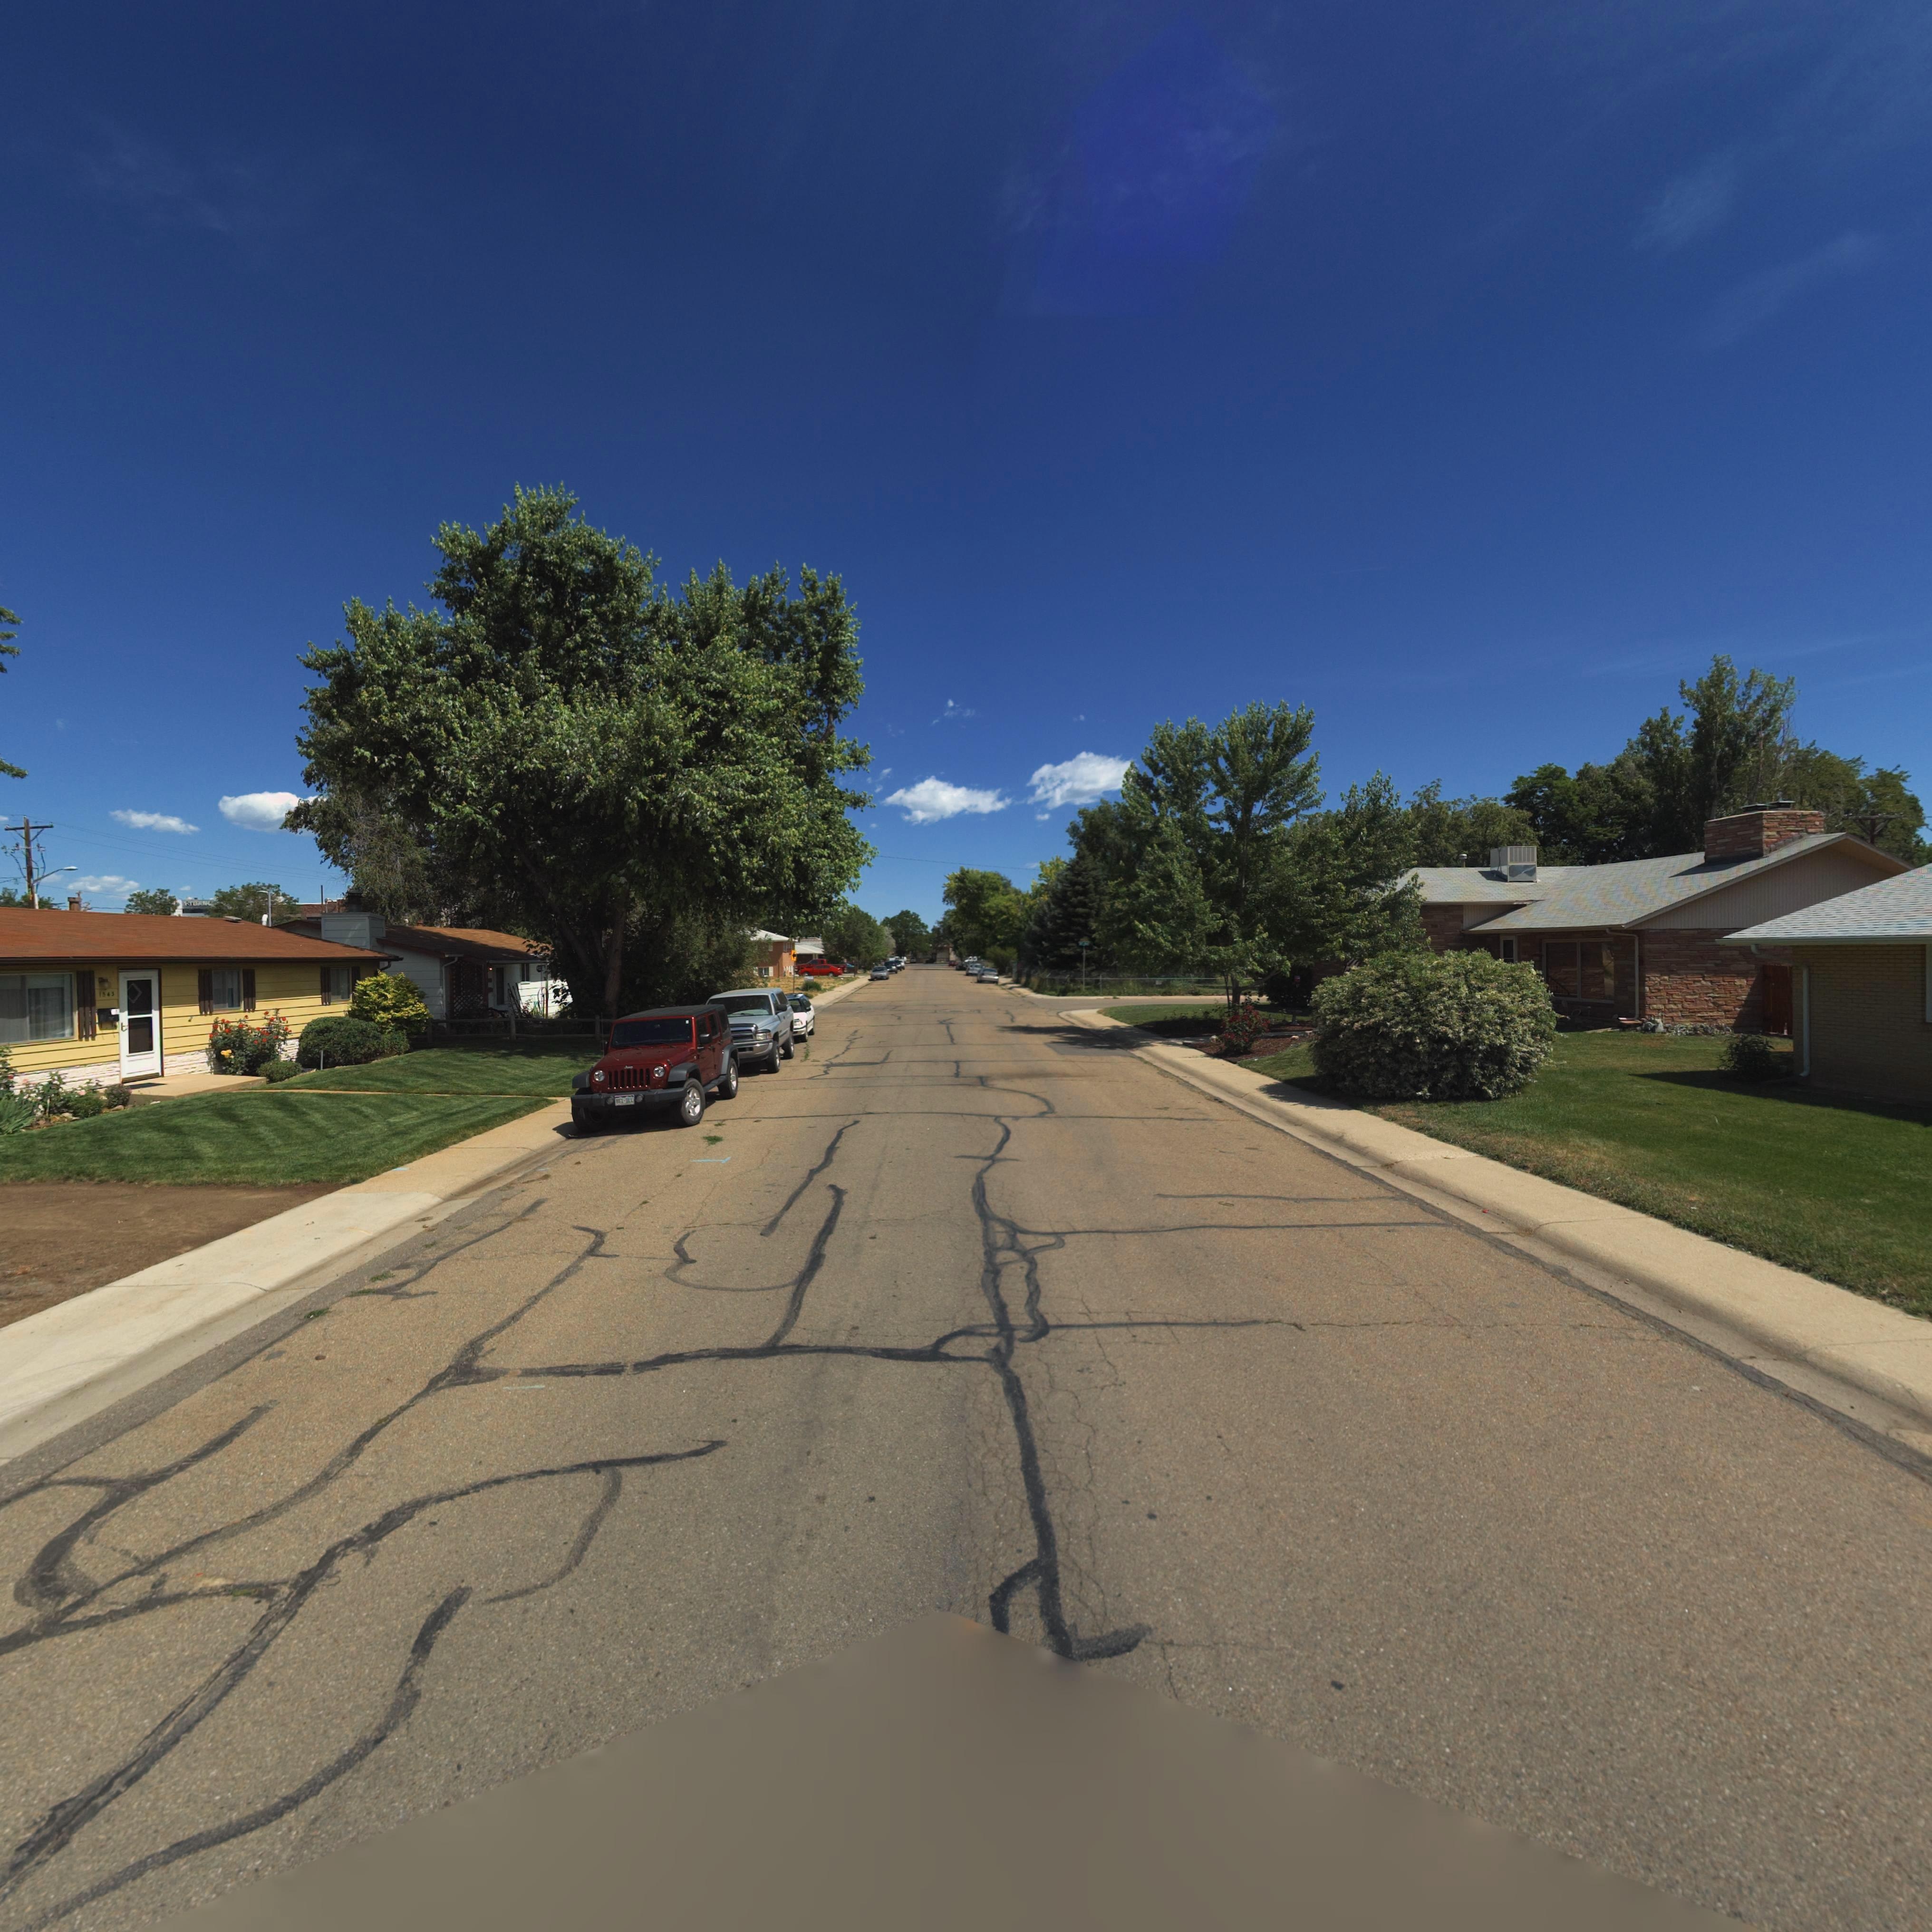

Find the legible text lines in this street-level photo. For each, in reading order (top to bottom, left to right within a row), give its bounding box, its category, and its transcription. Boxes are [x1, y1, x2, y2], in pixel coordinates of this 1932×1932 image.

[98, 990, 115, 997] StreetNumber: 1543